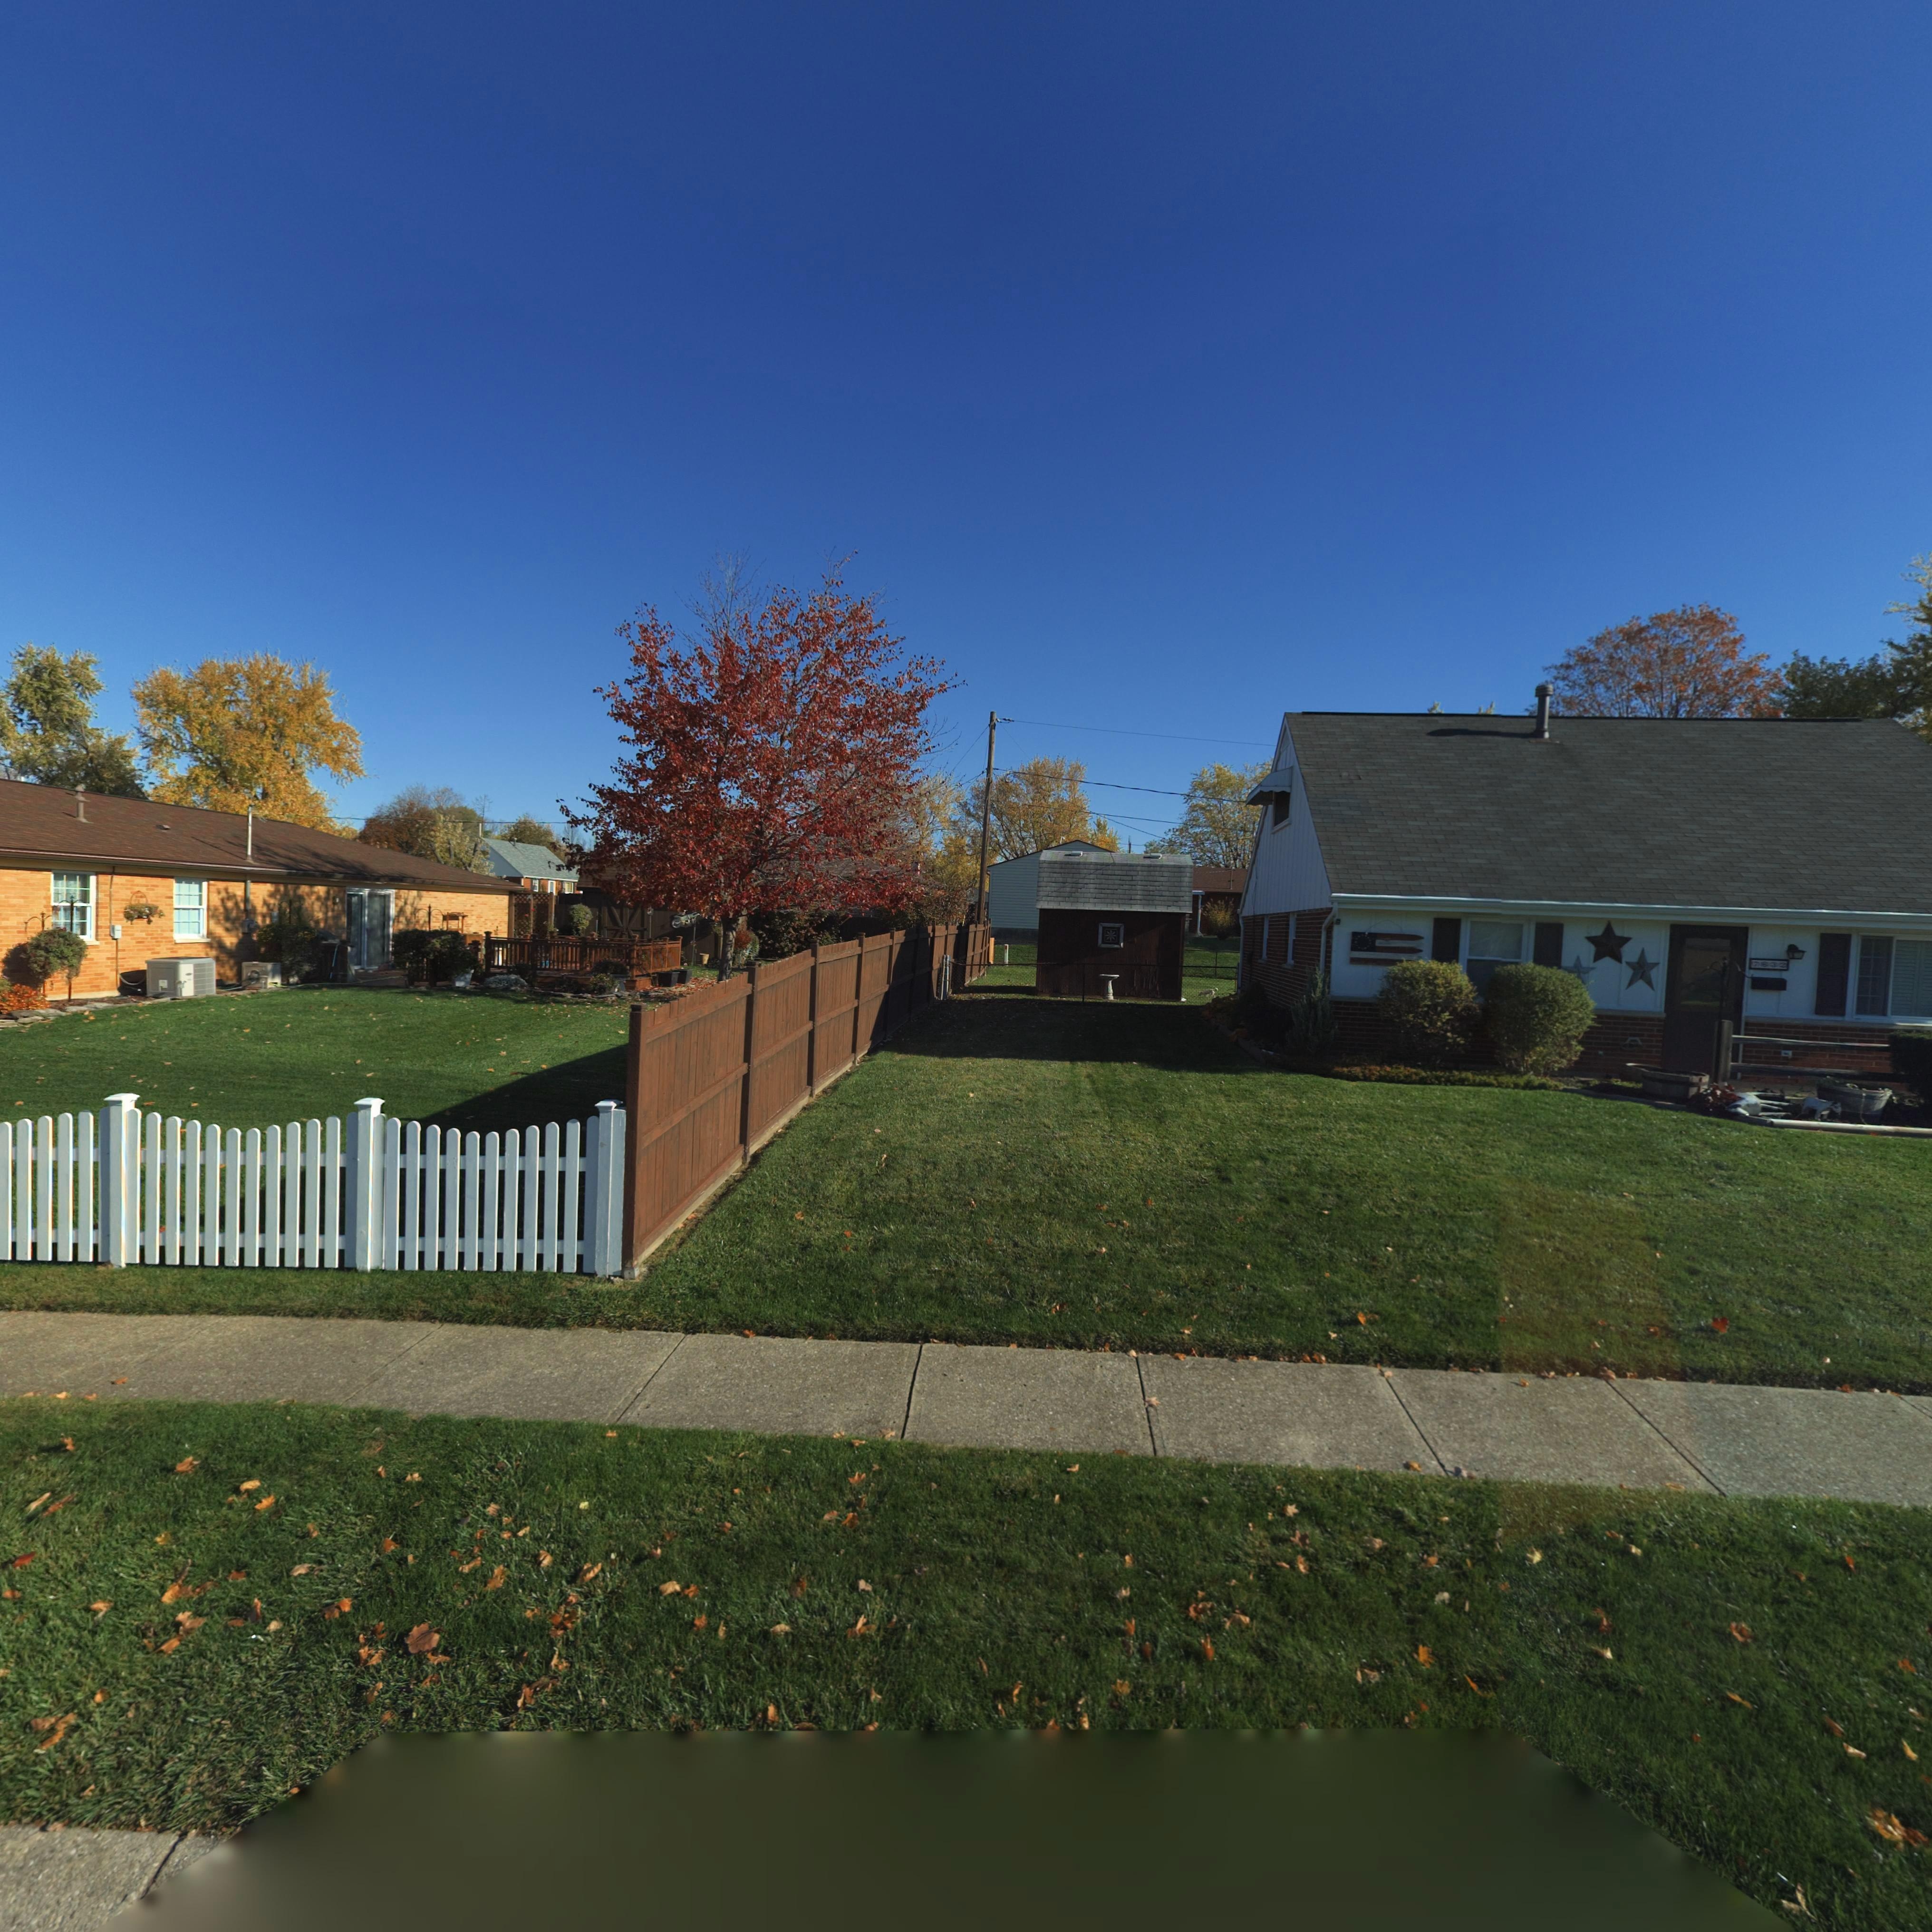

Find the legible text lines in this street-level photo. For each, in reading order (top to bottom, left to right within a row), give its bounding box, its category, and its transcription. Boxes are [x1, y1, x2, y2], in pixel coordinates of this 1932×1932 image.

[1752, 960, 1787, 969] StreetNumber: ***2